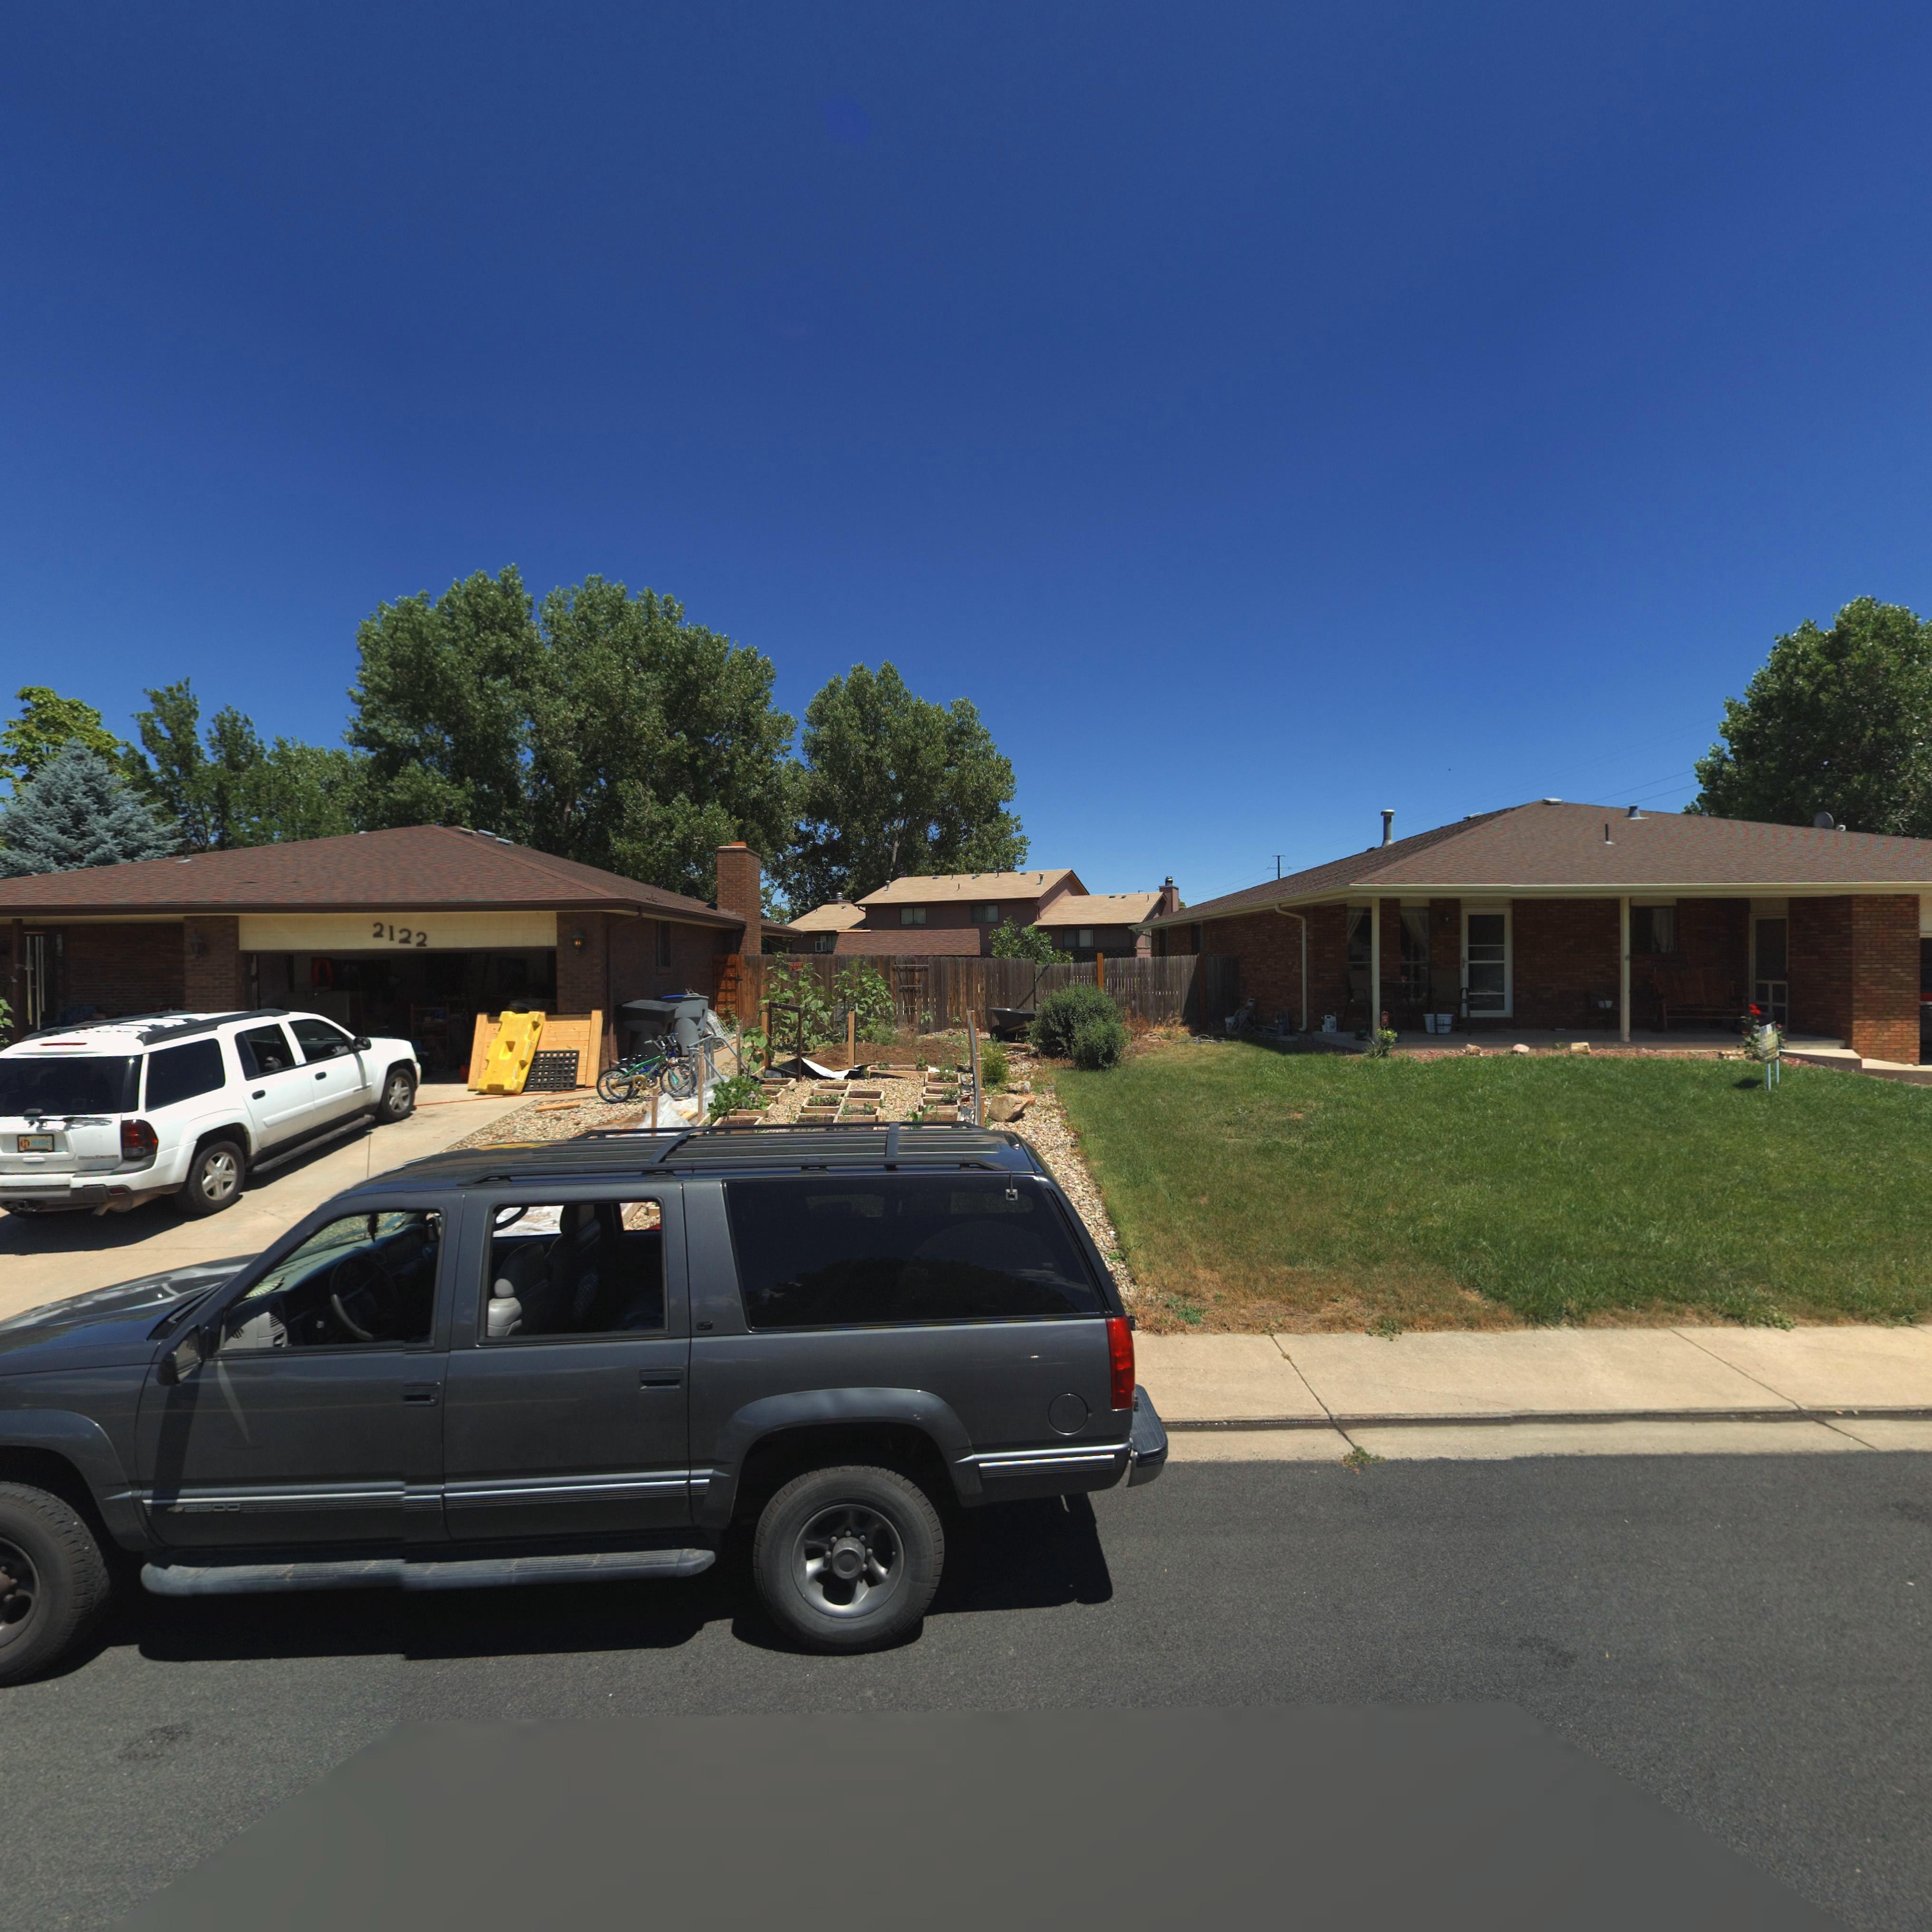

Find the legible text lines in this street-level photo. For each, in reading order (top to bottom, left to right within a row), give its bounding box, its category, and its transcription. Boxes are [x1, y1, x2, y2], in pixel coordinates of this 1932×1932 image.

[372, 921, 428, 947] StreetNumber: 2122